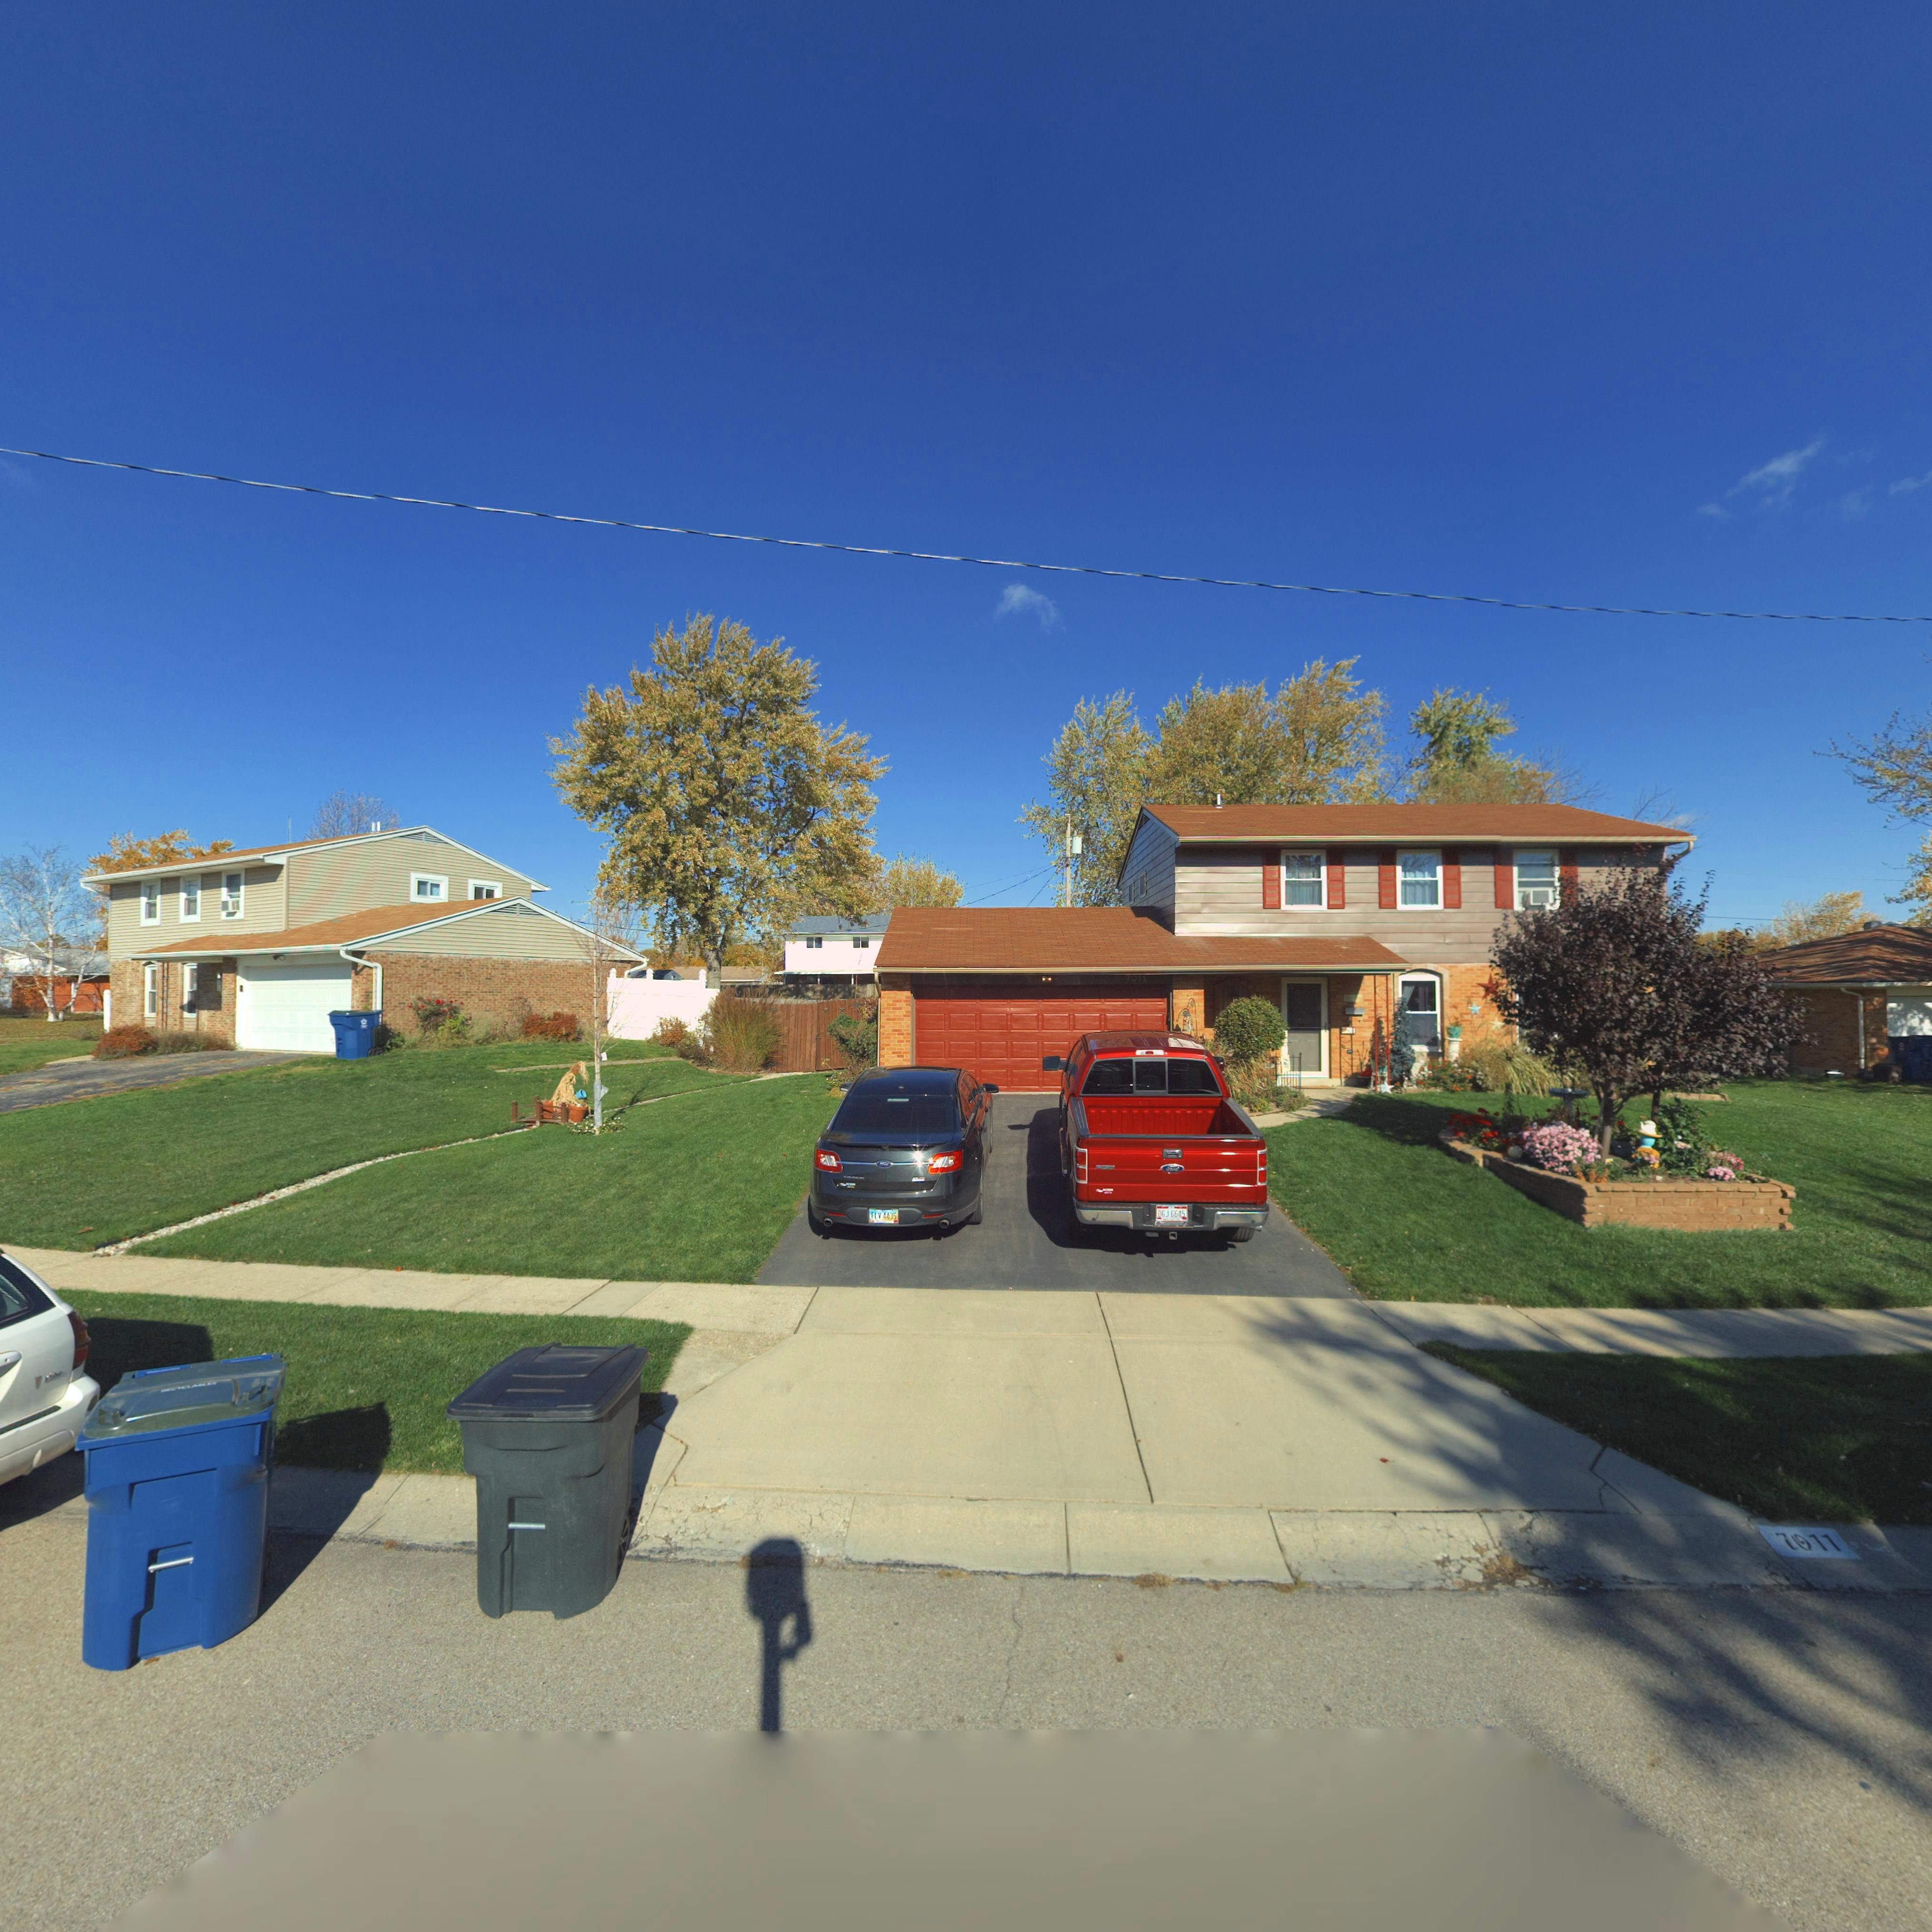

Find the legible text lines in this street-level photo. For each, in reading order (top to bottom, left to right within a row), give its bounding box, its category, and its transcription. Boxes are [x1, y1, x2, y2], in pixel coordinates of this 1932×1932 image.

[1774, 1532, 1844, 1552] StreetNumber: 7011